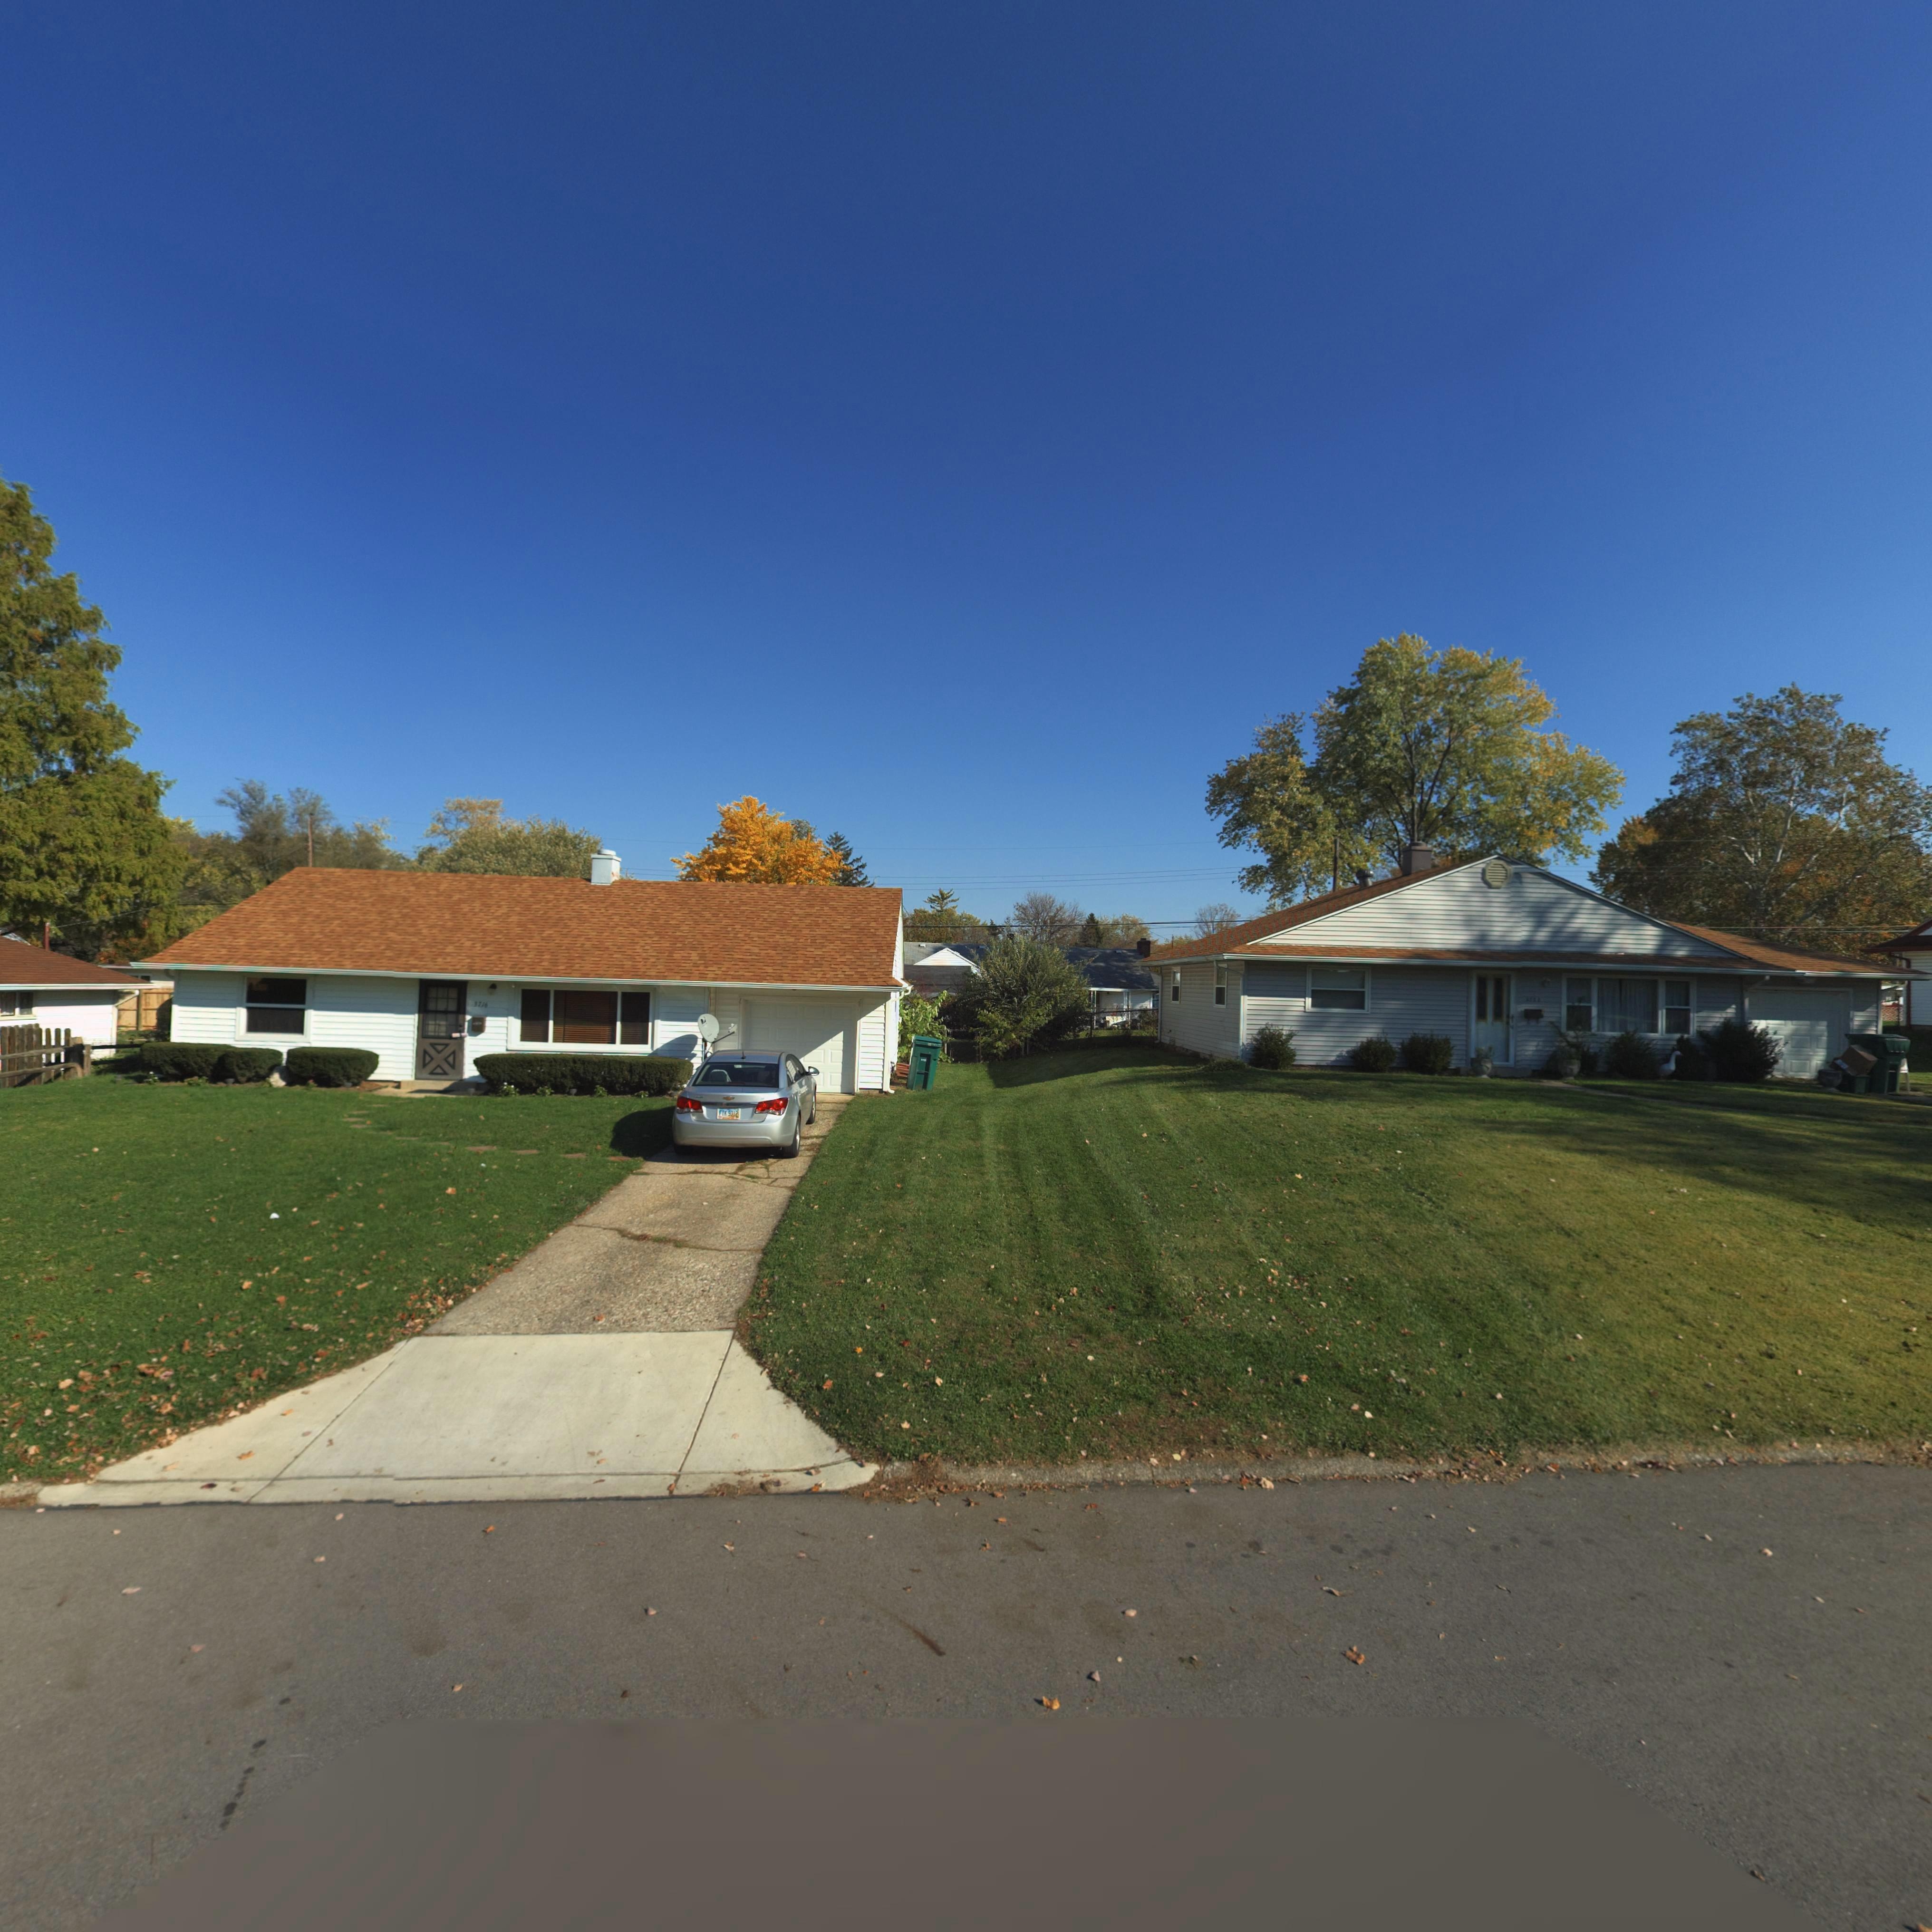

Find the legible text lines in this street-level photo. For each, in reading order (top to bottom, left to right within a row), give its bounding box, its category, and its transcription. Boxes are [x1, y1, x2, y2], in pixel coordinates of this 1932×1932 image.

[1526, 996, 1541, 1002] StreetNumber: 3722
[473, 1000, 488, 1007] StreetNumber: 3716
[719, 1110, 738, 1116] None: FTK 5012